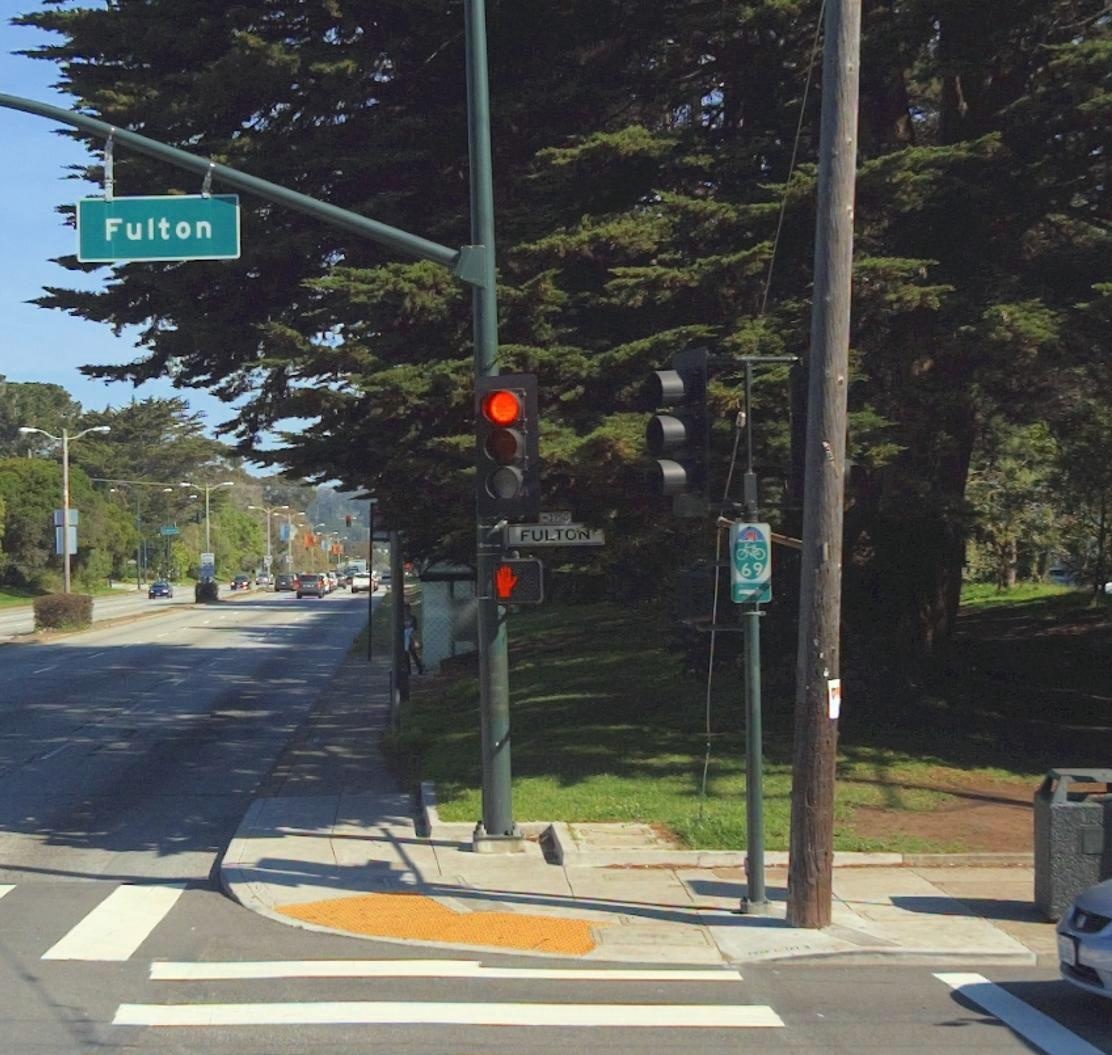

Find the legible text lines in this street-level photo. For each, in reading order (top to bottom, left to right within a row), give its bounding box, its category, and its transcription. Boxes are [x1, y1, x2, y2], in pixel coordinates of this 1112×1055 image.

[103, 213, 210, 241] StreetName: Fulton
[540, 512, 570, 523] StreetNumberRange: <-3750
[520, 527, 592, 543] StreetName: FULTON
[740, 561, 763, 576] None: 69